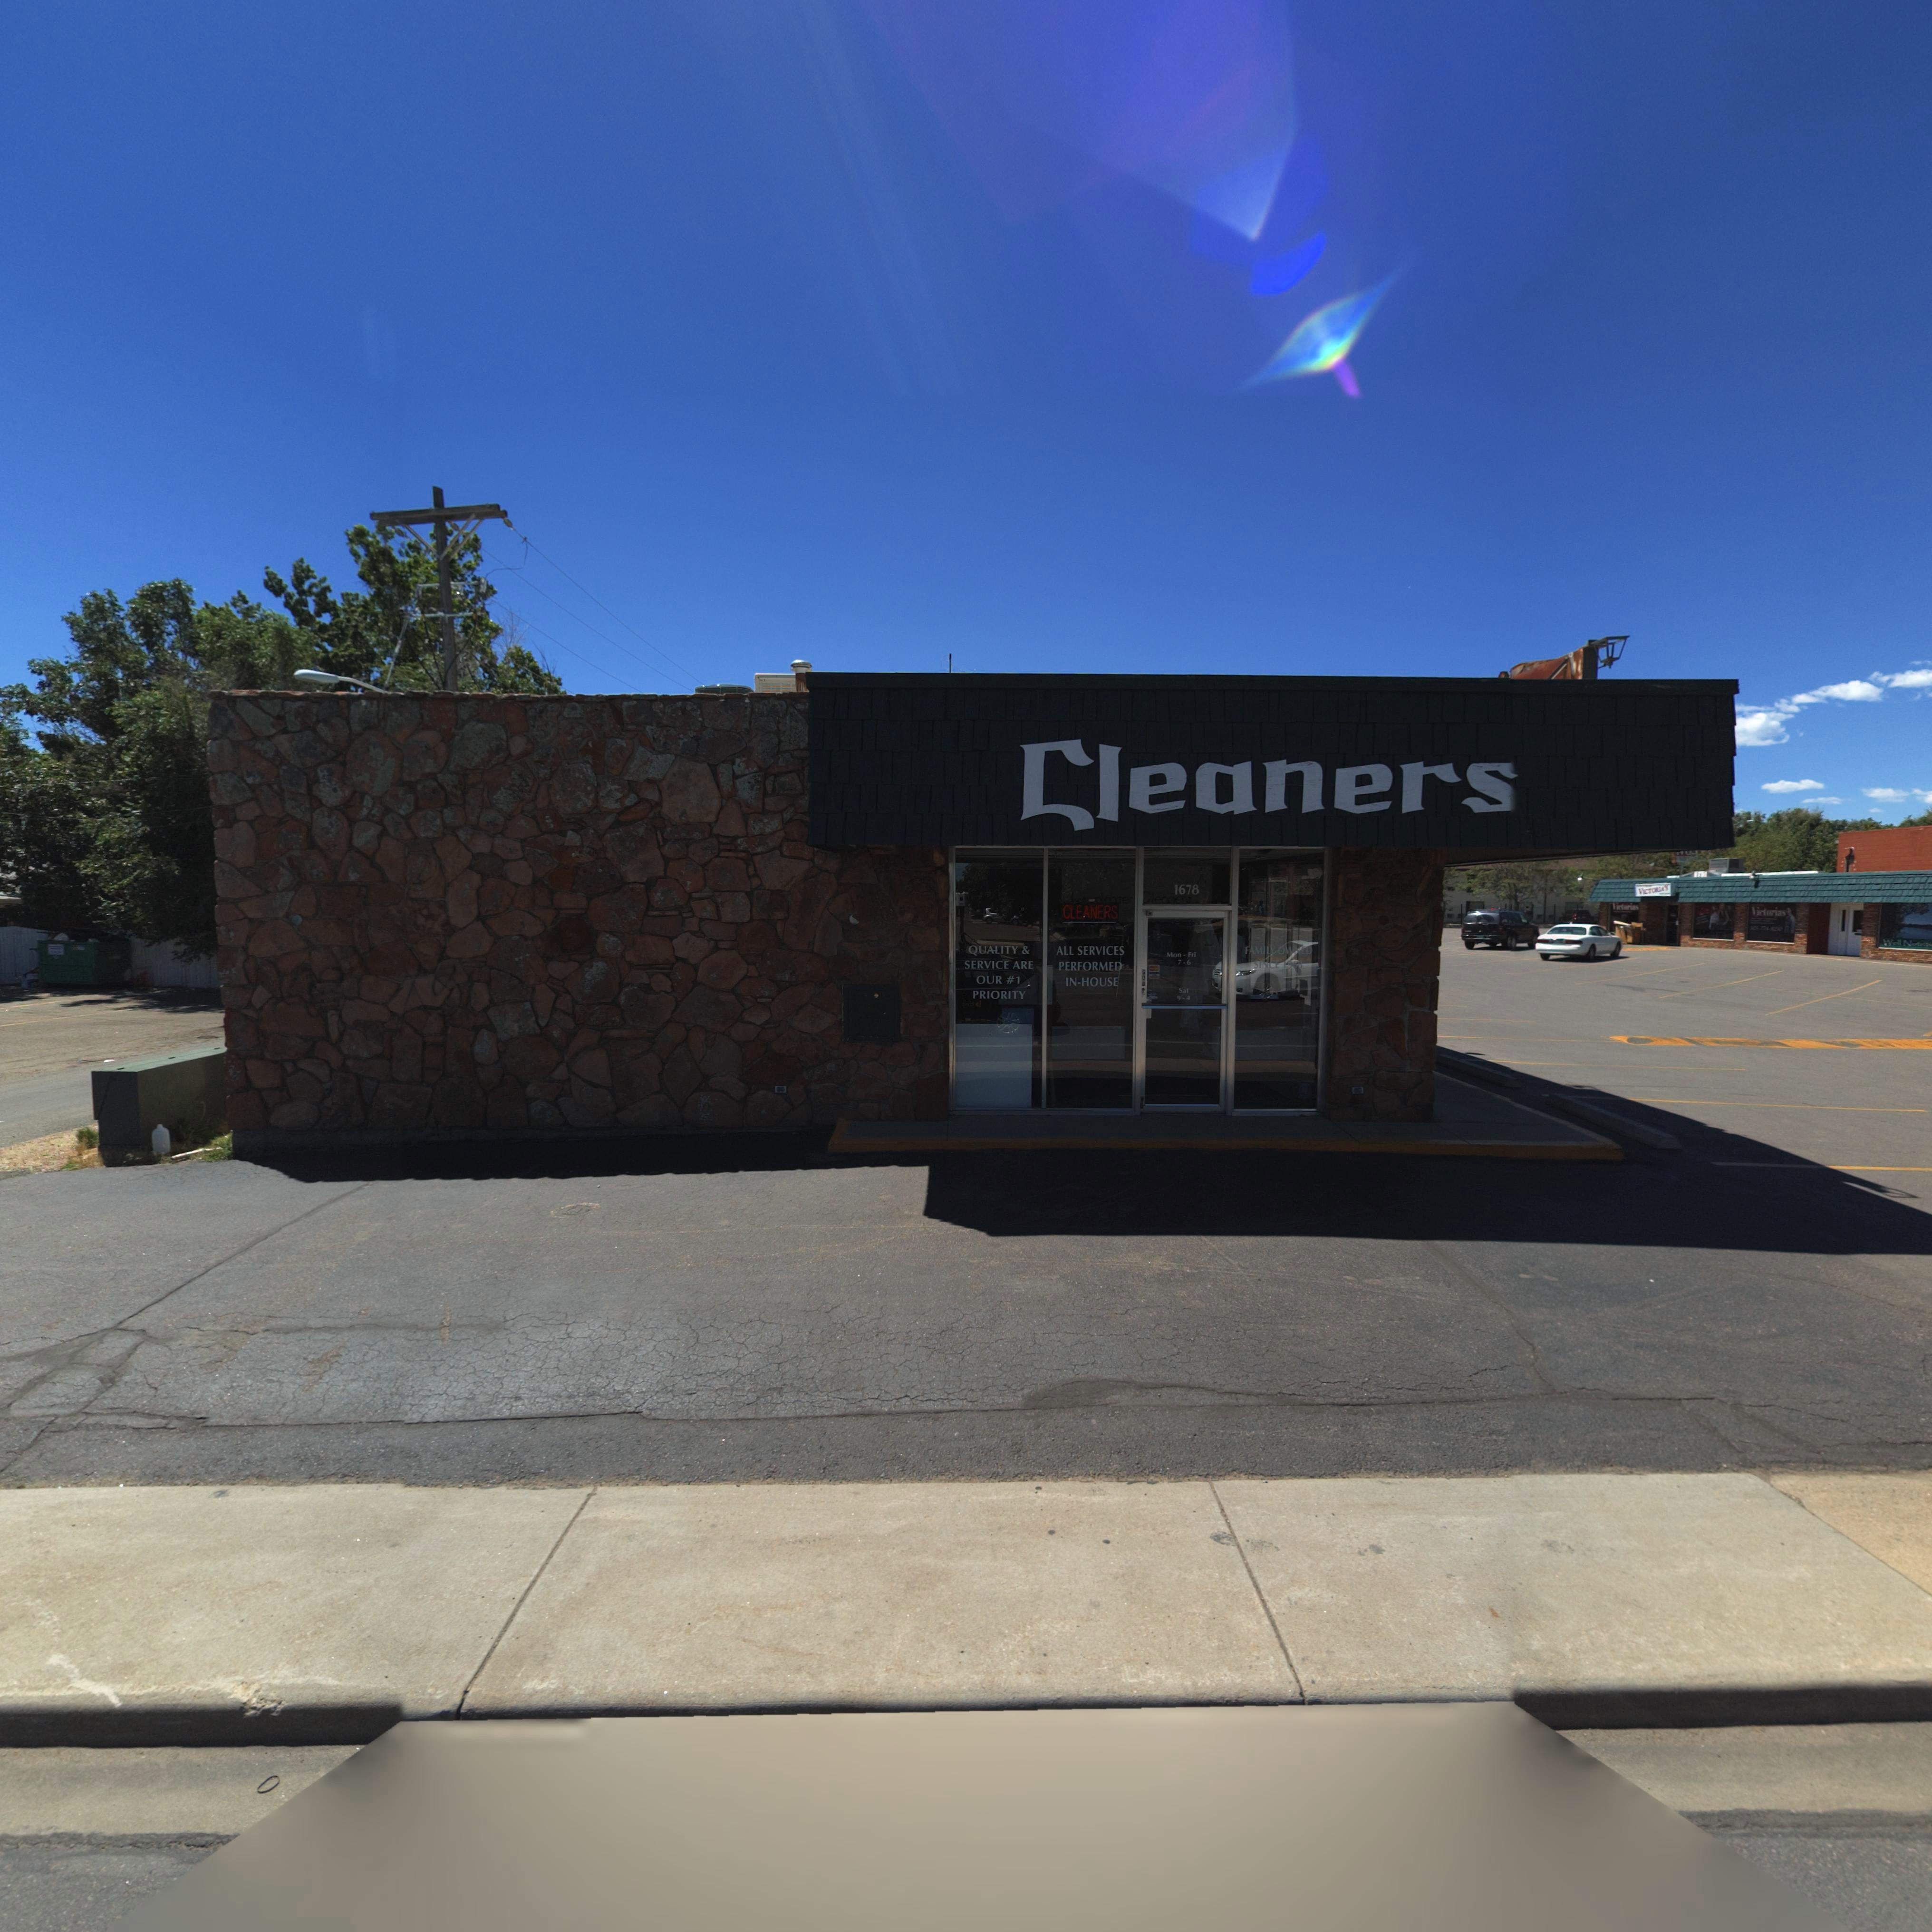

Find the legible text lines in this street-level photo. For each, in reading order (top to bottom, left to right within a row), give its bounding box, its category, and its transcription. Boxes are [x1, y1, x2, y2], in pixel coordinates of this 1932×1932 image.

[1017, 736, 1521, 833] BusinessName: Cleaners
[1174, 883, 1200, 895] StreetNumber: 1678
[1637, 884, 1668, 895] BusinessName: VICTORIA'S
[1612, 902, 1639, 910] BusinessName: Victorias
[1751, 906, 1787, 917] BusinessName: Victorias